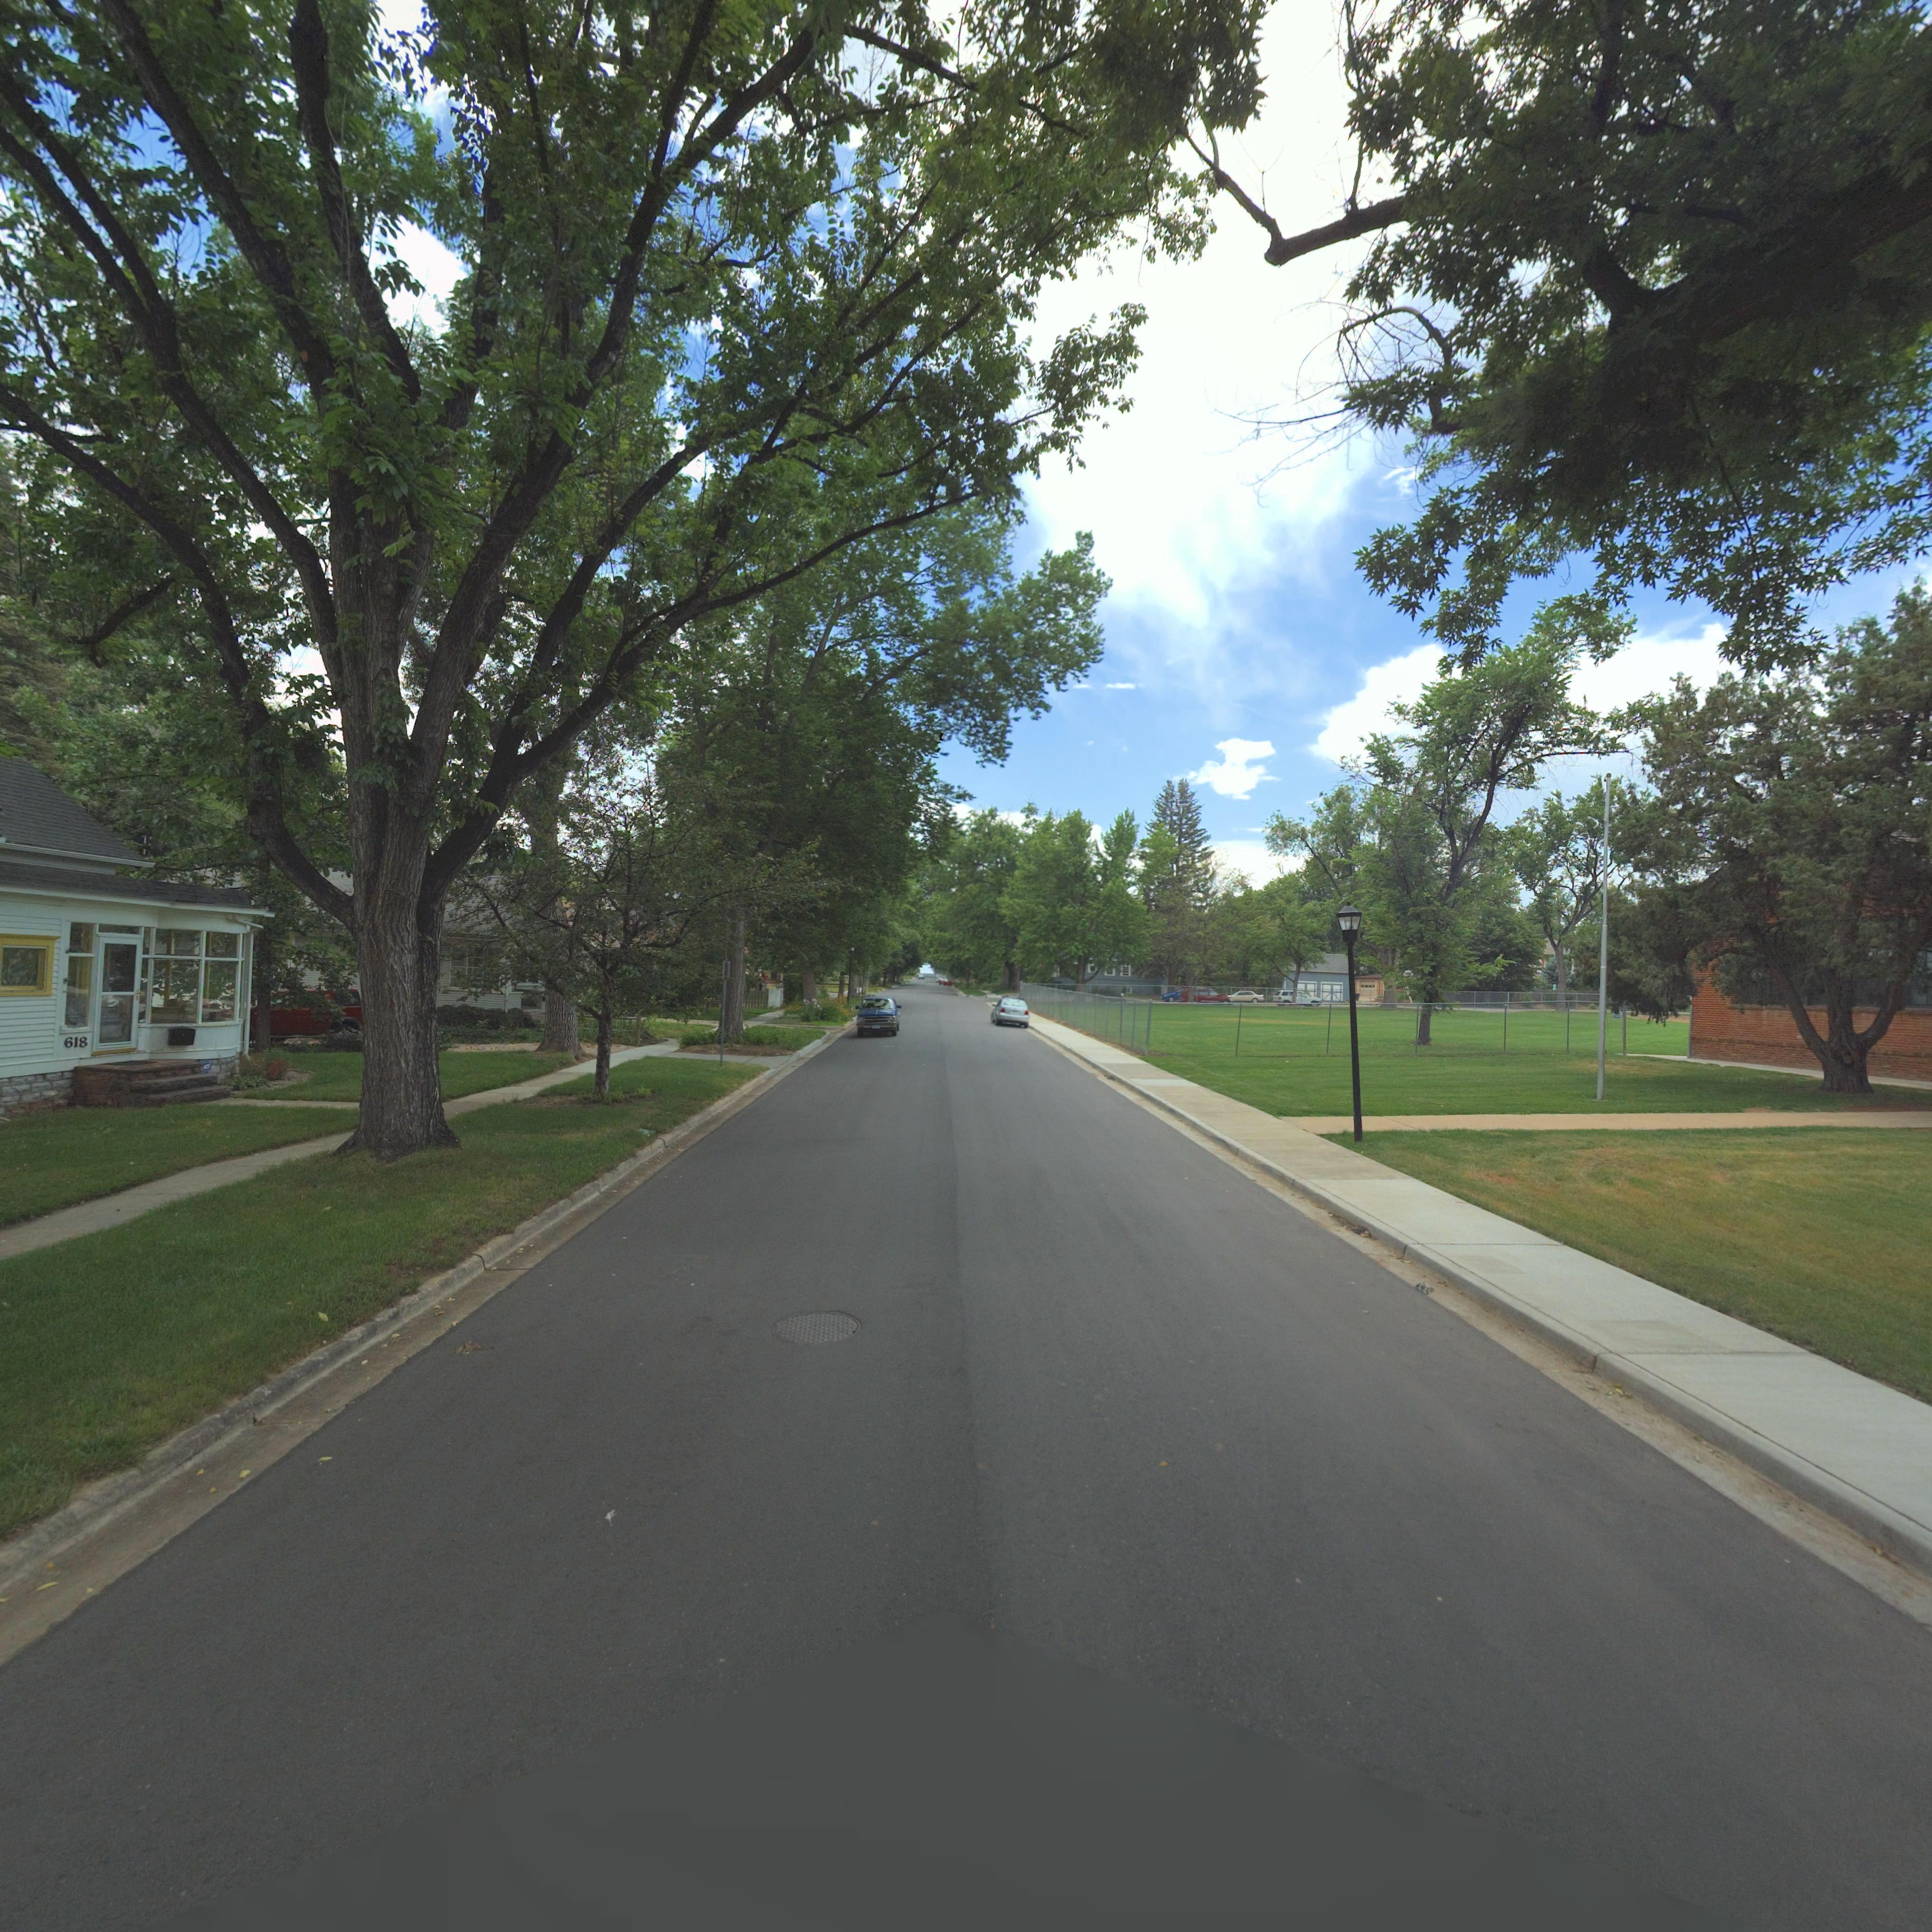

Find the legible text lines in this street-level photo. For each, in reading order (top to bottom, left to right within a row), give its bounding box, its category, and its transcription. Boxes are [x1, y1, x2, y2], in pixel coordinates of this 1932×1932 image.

[64, 1036, 88, 1048] StreetNumber: 618